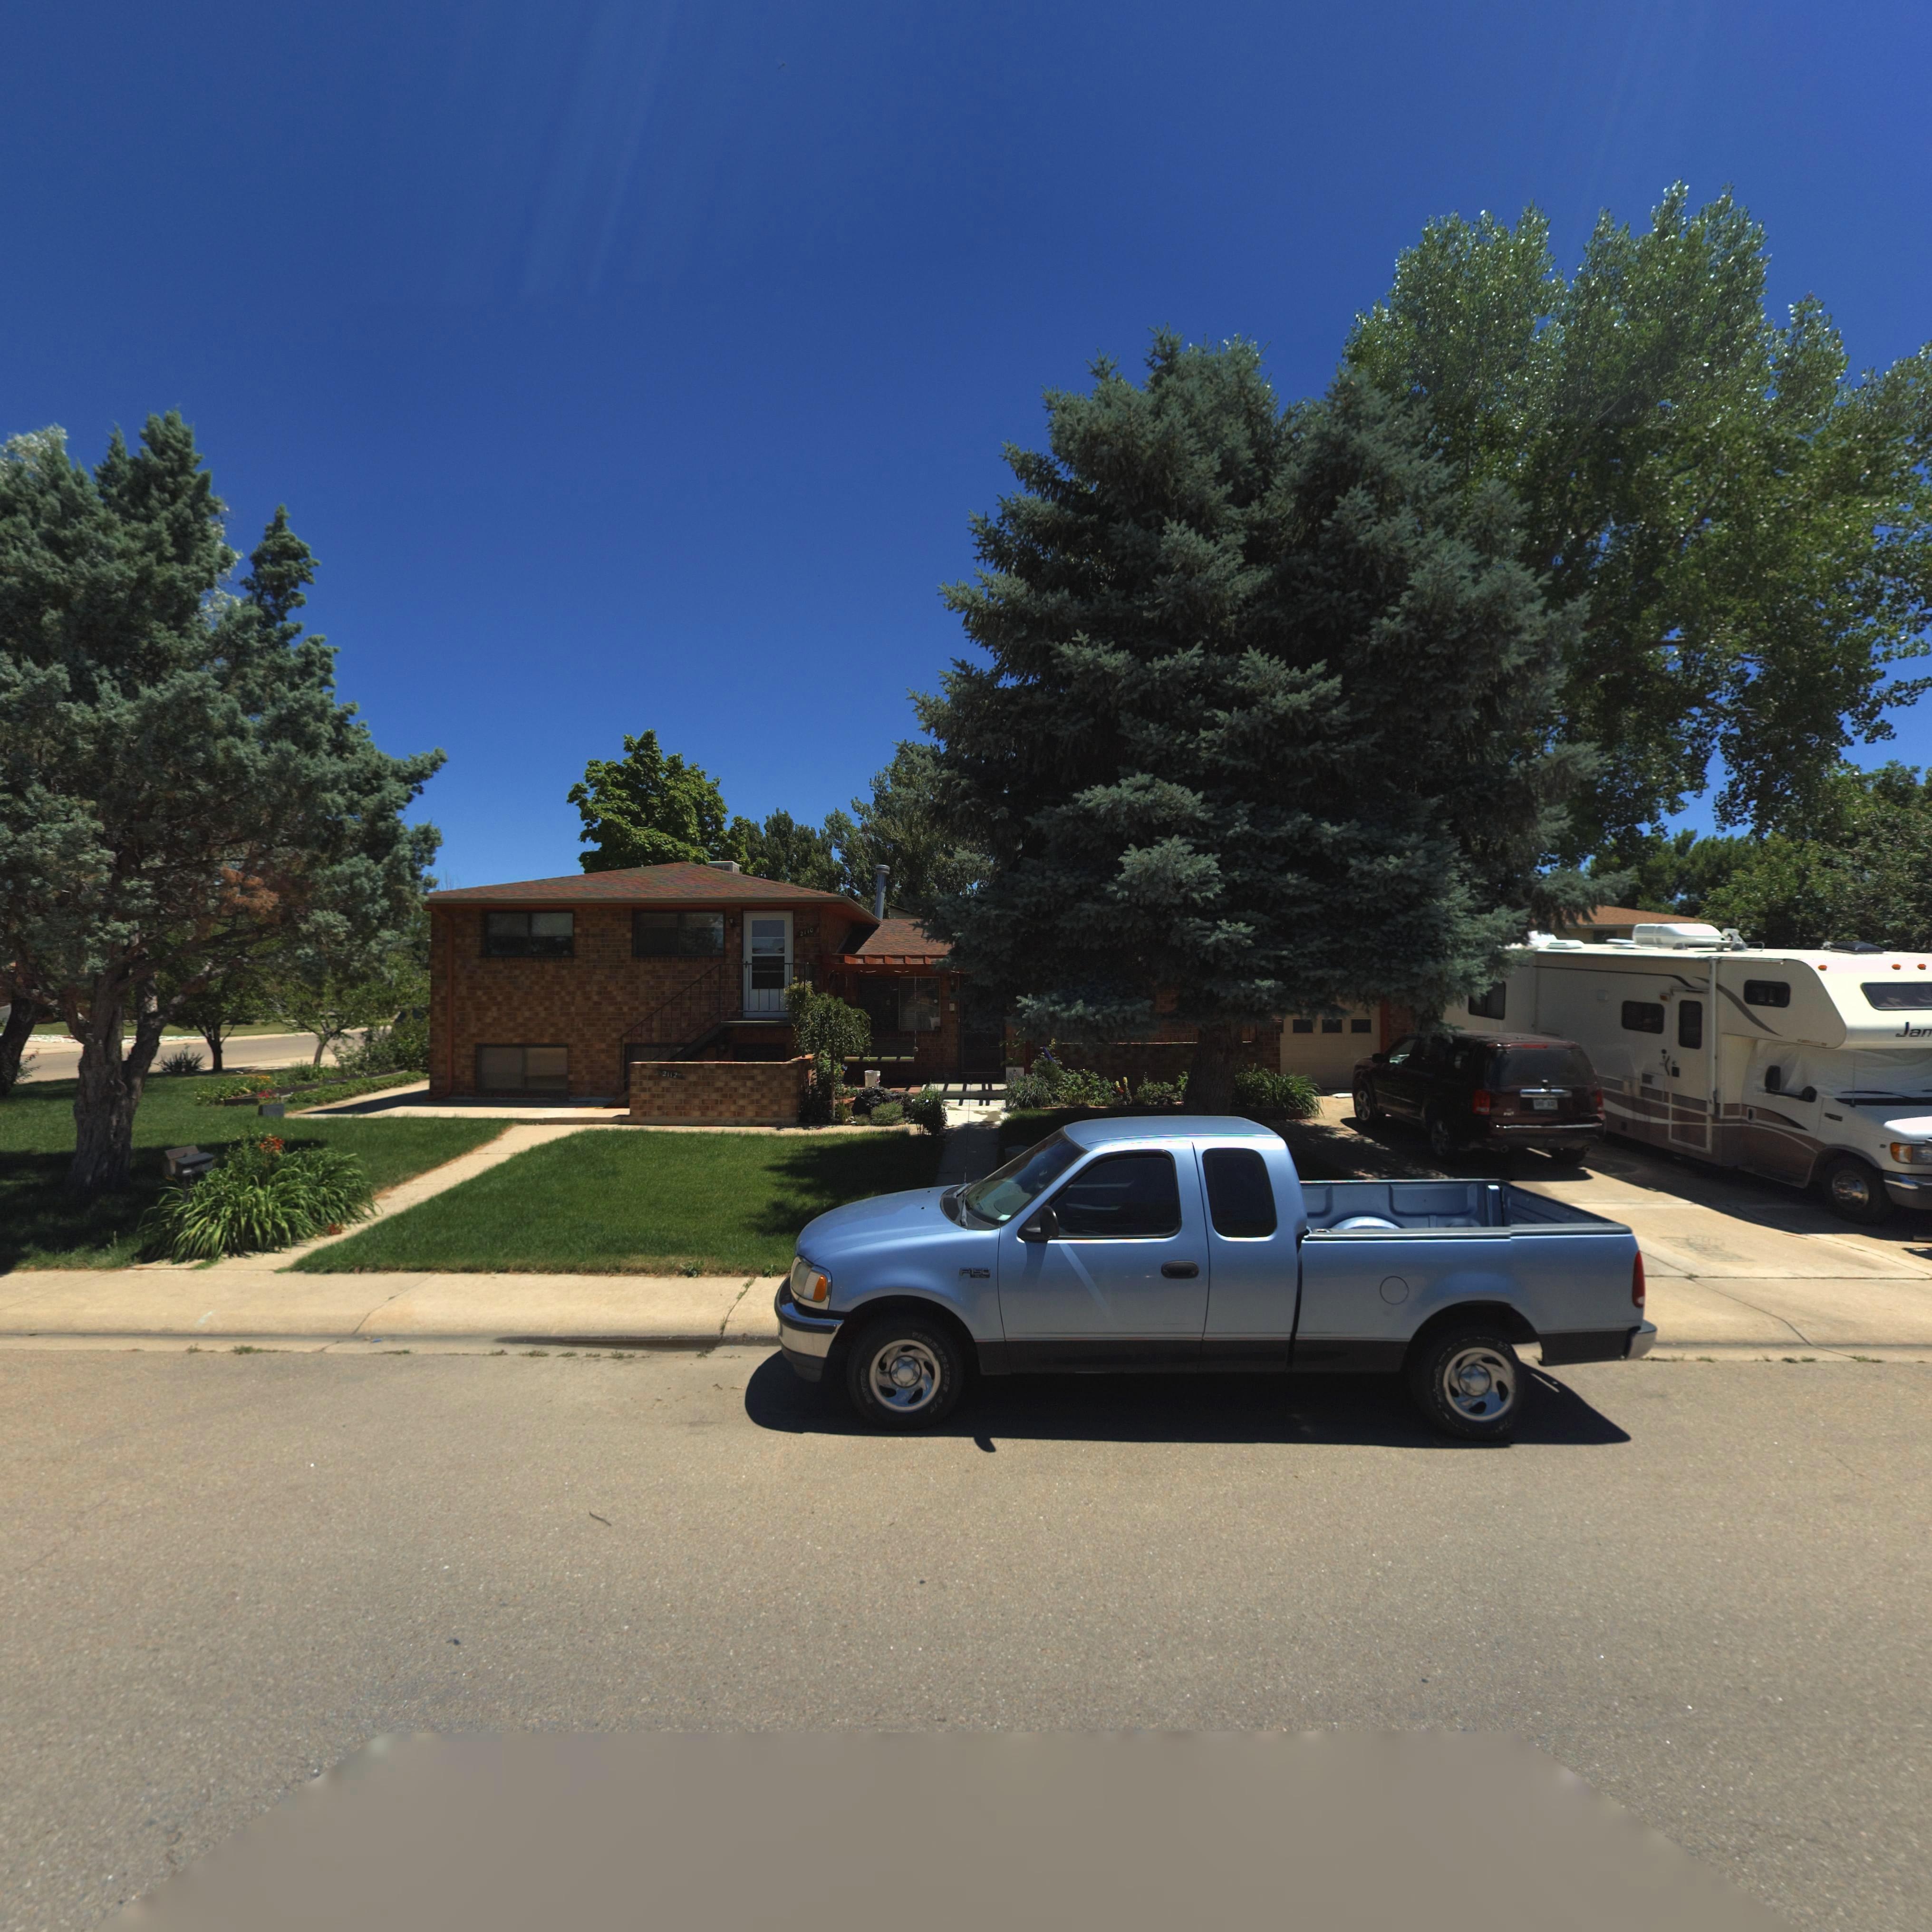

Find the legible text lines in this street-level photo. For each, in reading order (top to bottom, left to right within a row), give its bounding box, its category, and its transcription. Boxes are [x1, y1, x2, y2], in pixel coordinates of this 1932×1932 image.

[797, 926, 814, 937] StreetNumber: 2110
[662, 1070, 679, 1079] StreetNumber: 2112